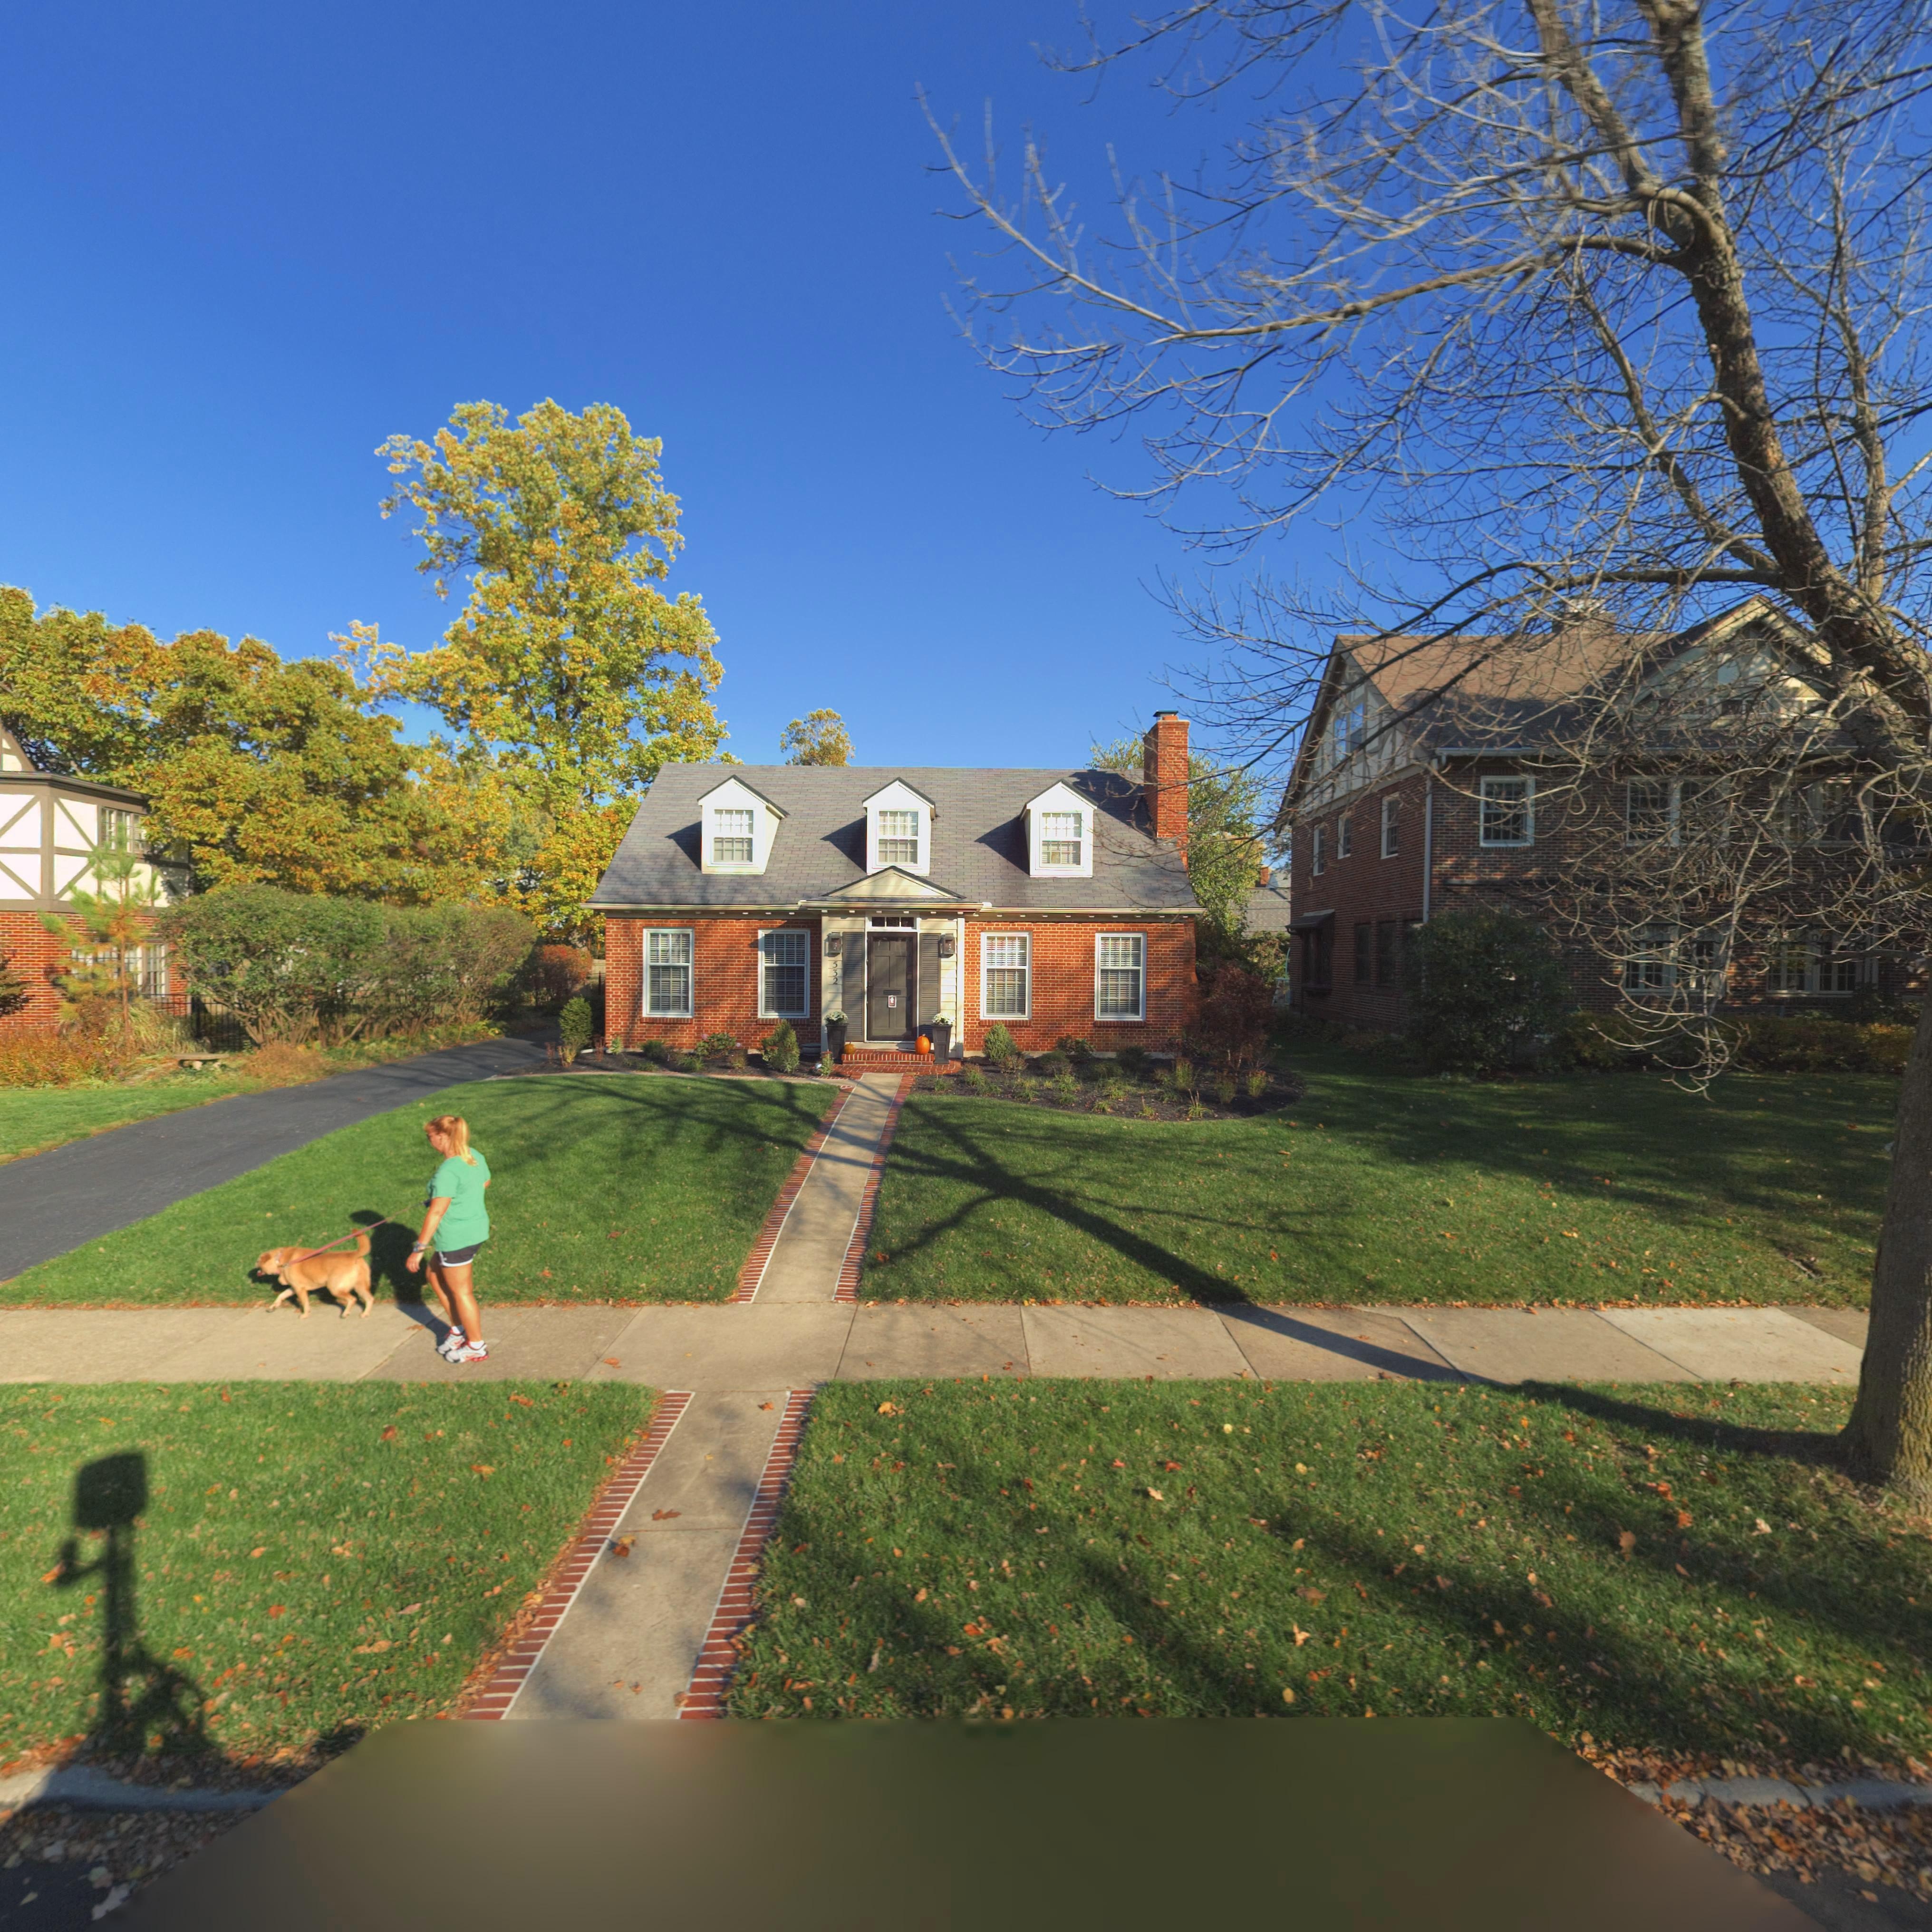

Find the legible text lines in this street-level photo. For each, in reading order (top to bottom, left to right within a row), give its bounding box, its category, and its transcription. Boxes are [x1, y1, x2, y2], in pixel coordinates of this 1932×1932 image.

[832, 960, 839, 985] StreetNumber: 532